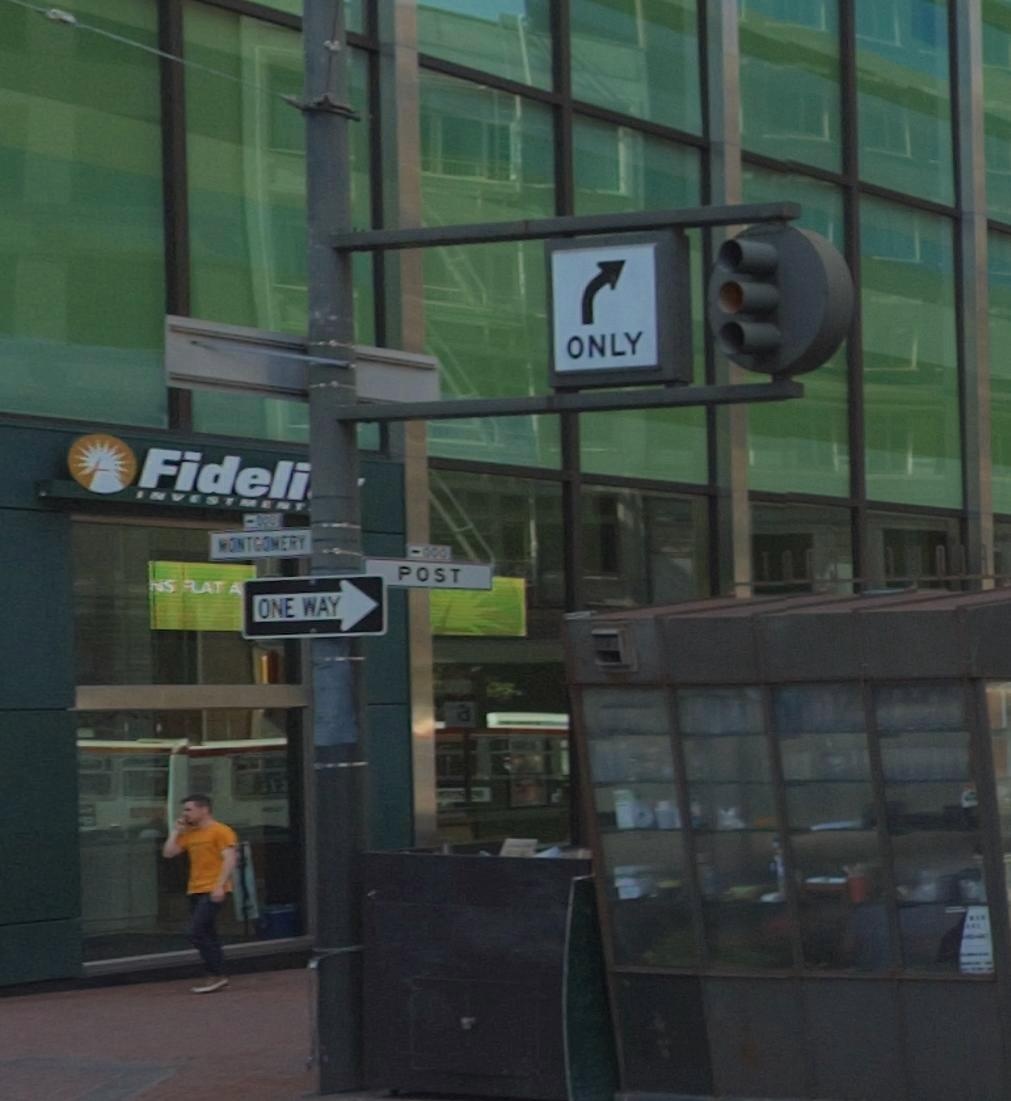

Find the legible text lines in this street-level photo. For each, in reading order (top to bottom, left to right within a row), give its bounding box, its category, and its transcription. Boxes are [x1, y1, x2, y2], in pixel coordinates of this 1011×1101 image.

[564, 327, 647, 364] None: ONLY
[134, 444, 312, 503] BusinessName: Fideli
[132, 485, 308, 515] BusinessName: INVESTMENT
[243, 513, 277, 530] StreetNumber: <-00*
[214, 532, 308, 556] StreetName: MONTGOMERY
[409, 543, 451, 562] StreetNumber: <-000
[396, 563, 464, 586] StreetName: POST
[162, 576, 246, 599] None: S *LAT A
[255, 592, 344, 622] None: ONE WAY
[454, 699, 474, 724] None: a